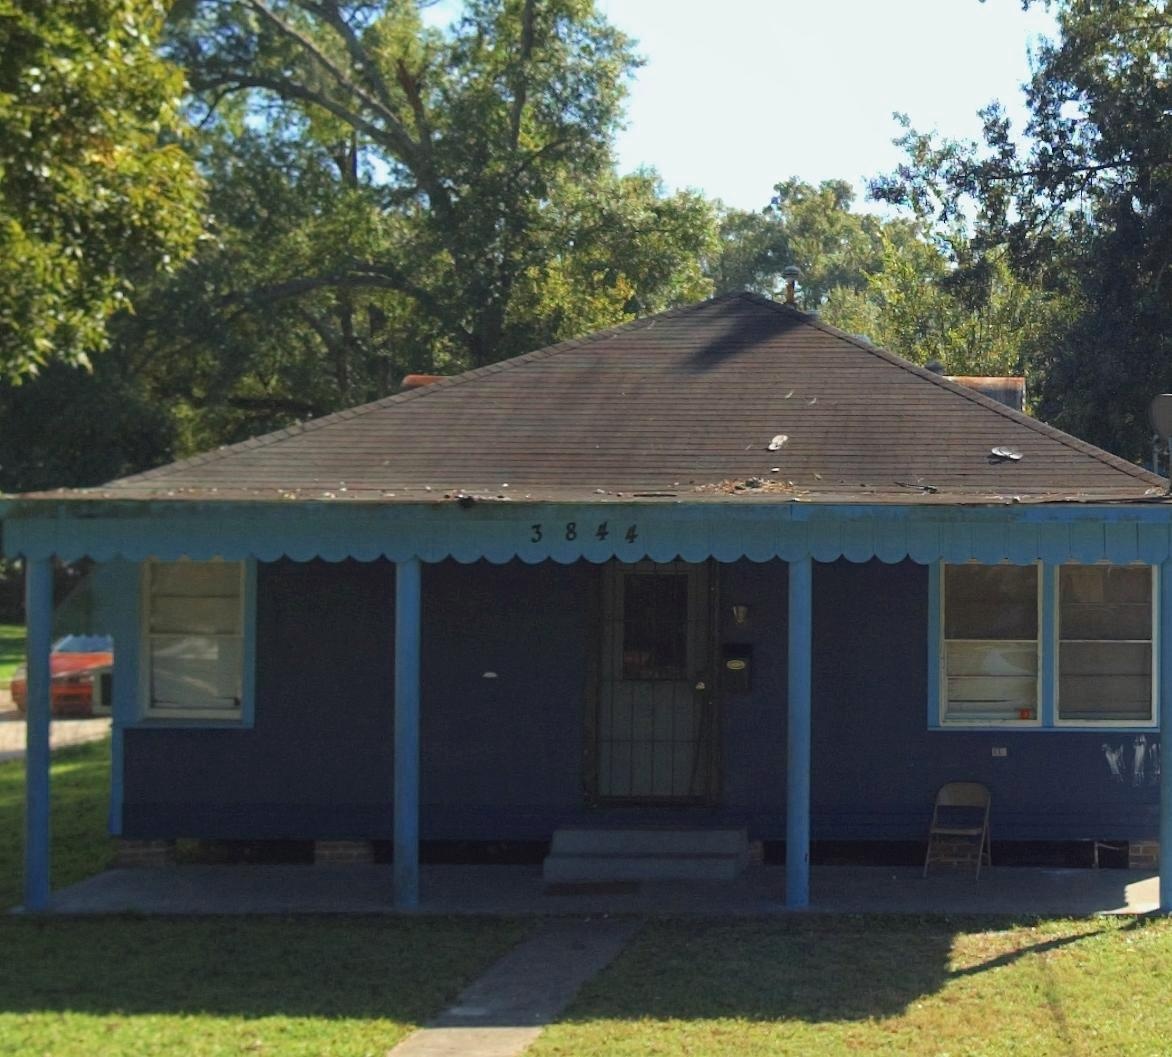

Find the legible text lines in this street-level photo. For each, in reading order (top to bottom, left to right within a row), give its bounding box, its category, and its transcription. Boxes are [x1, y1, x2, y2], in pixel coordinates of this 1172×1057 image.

[527, 520, 641, 545] StreetNumber: 3844